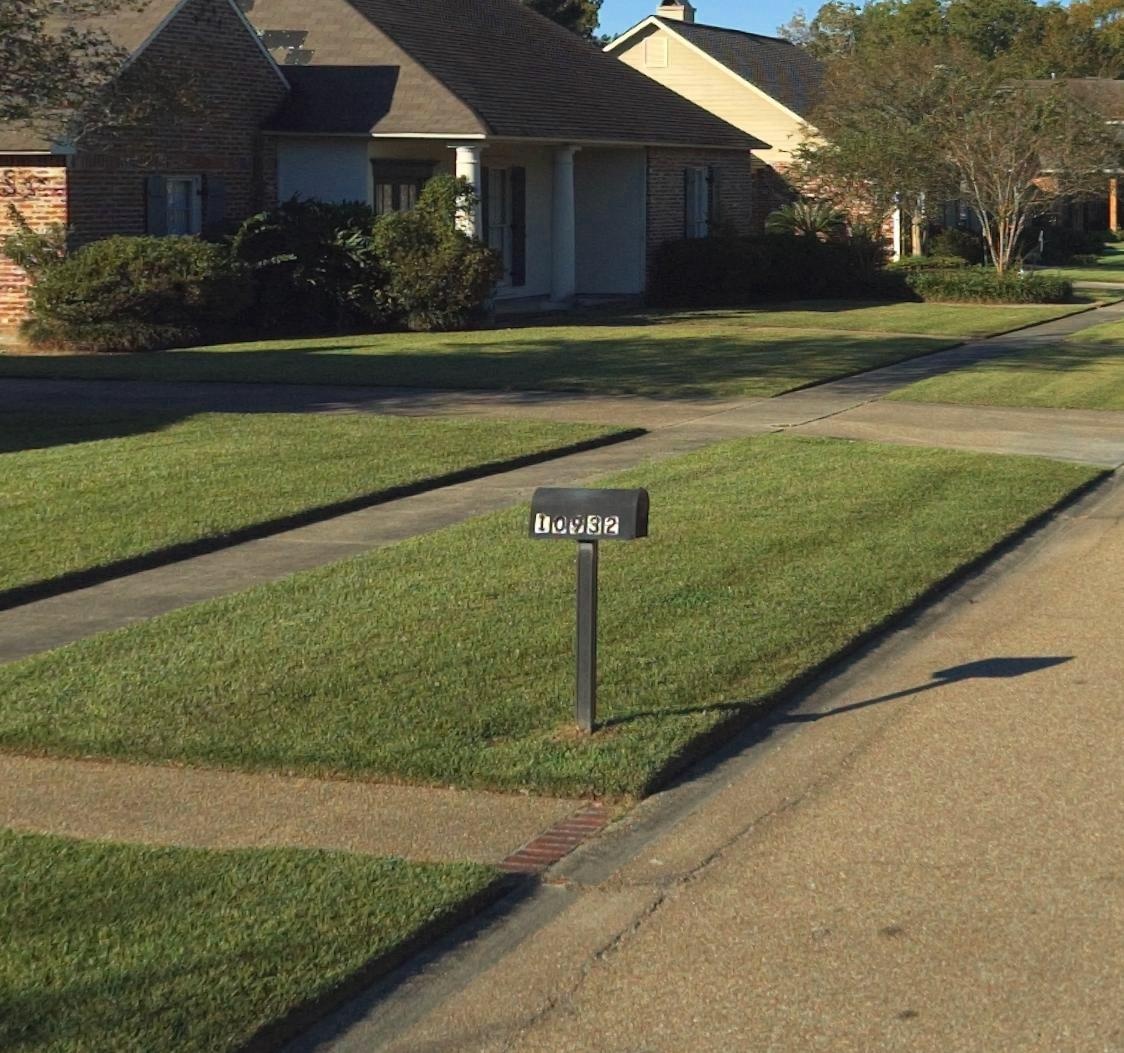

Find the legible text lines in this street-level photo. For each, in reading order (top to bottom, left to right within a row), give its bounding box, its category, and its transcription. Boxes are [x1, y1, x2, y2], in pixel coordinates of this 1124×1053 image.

[535, 511, 619, 536] StreetNumber: 10932